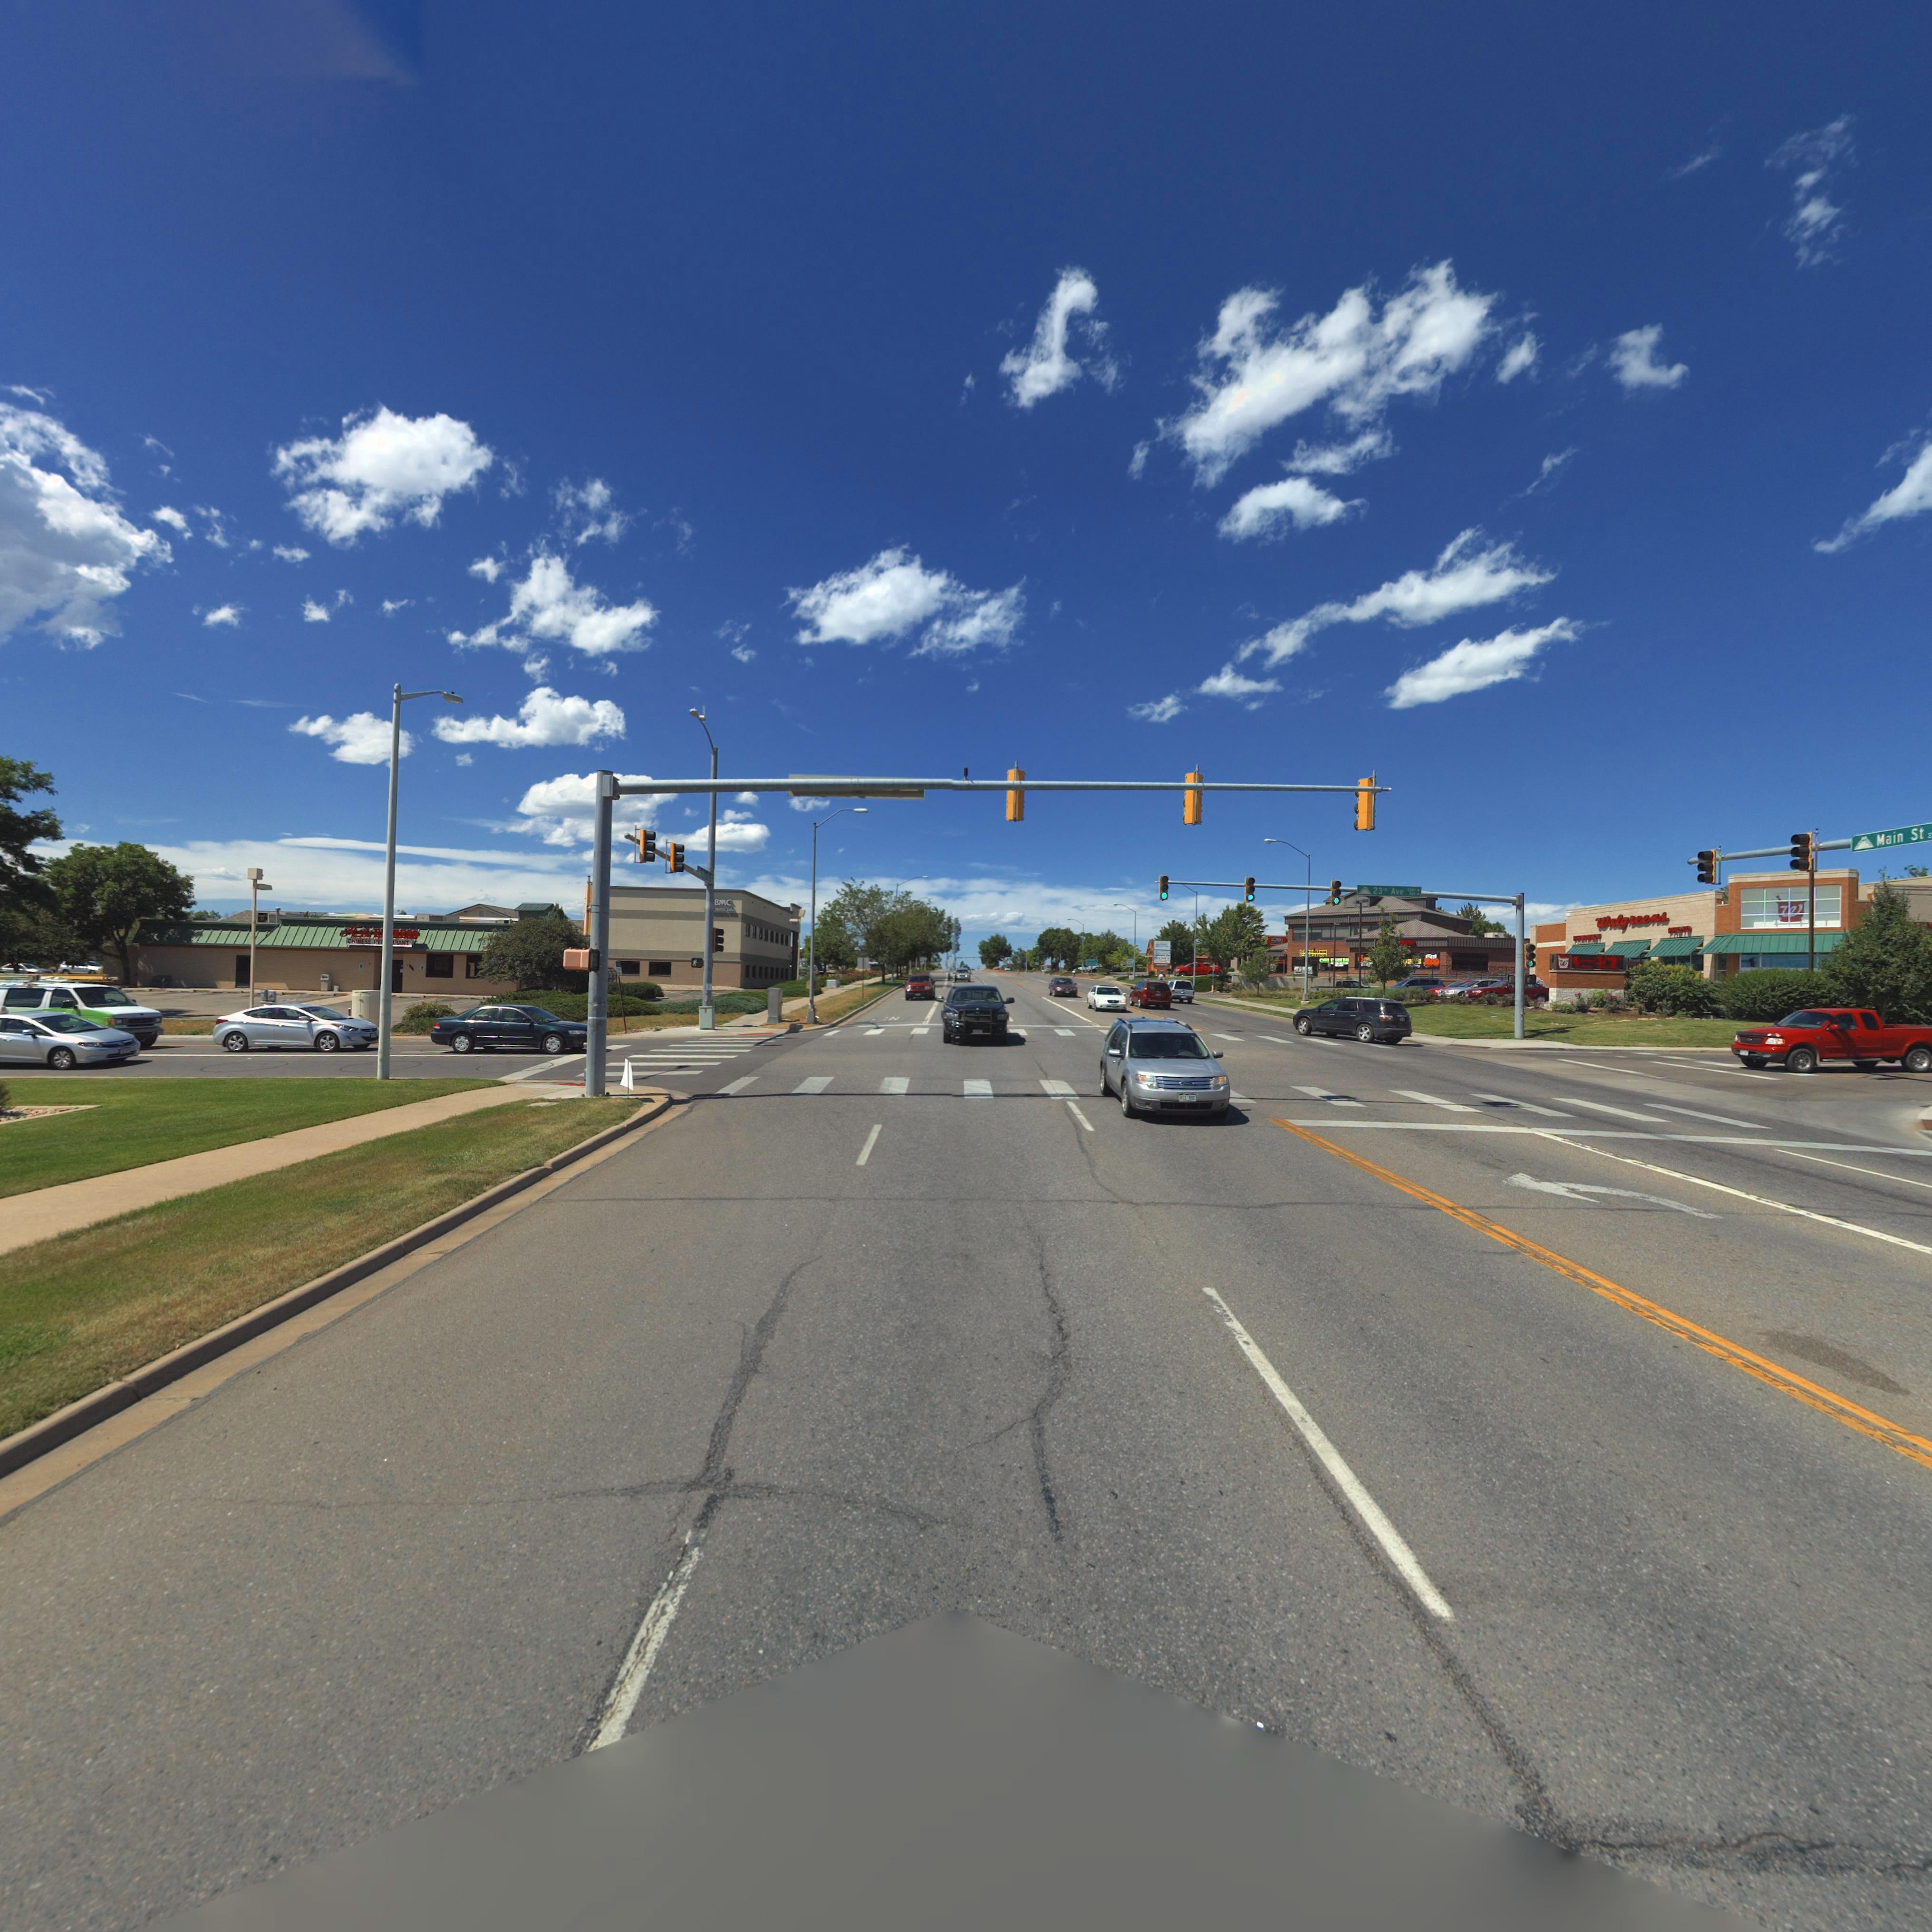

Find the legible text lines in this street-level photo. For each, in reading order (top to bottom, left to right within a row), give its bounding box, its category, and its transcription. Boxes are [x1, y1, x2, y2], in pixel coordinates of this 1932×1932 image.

[1876, 826, 1924, 846] StreetName: Main St
[1373, 887, 1404, 895] StreetName: 23rd Ave
[1407, 888, 1415, 891] StreetNumberRange: **0*
[1409, 892, 1415, 896] StreetNumberRange: *00
[714, 898, 732, 906] BusinessName: BMC
[1595, 911, 1669, 930] BusinessName: Walgreens
[338, 923, 418, 939] BusinessName: A** E***ESS